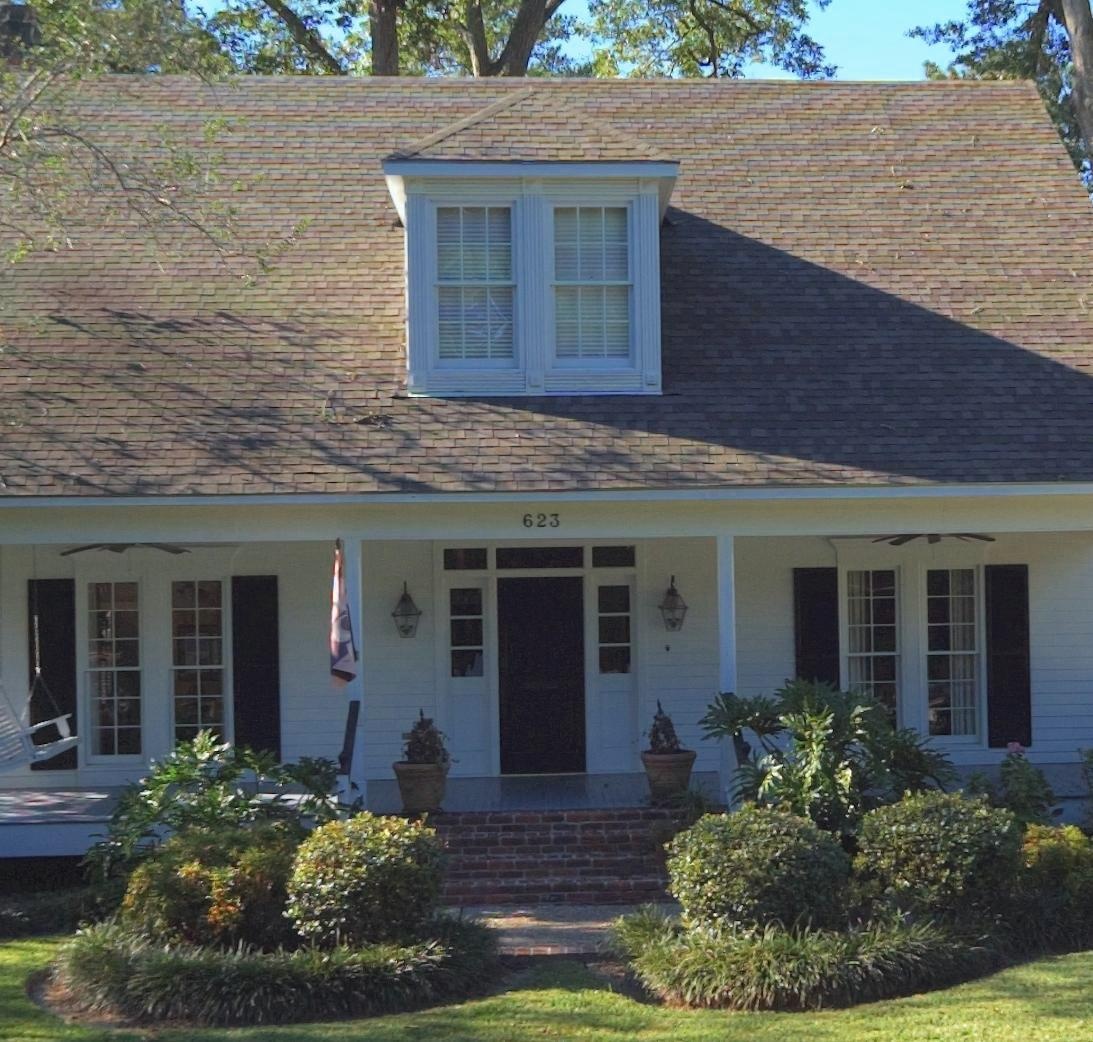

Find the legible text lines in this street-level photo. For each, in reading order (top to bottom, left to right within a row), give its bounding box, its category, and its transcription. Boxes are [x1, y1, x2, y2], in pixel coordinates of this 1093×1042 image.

[521, 511, 562, 530] StreetNumber: 623